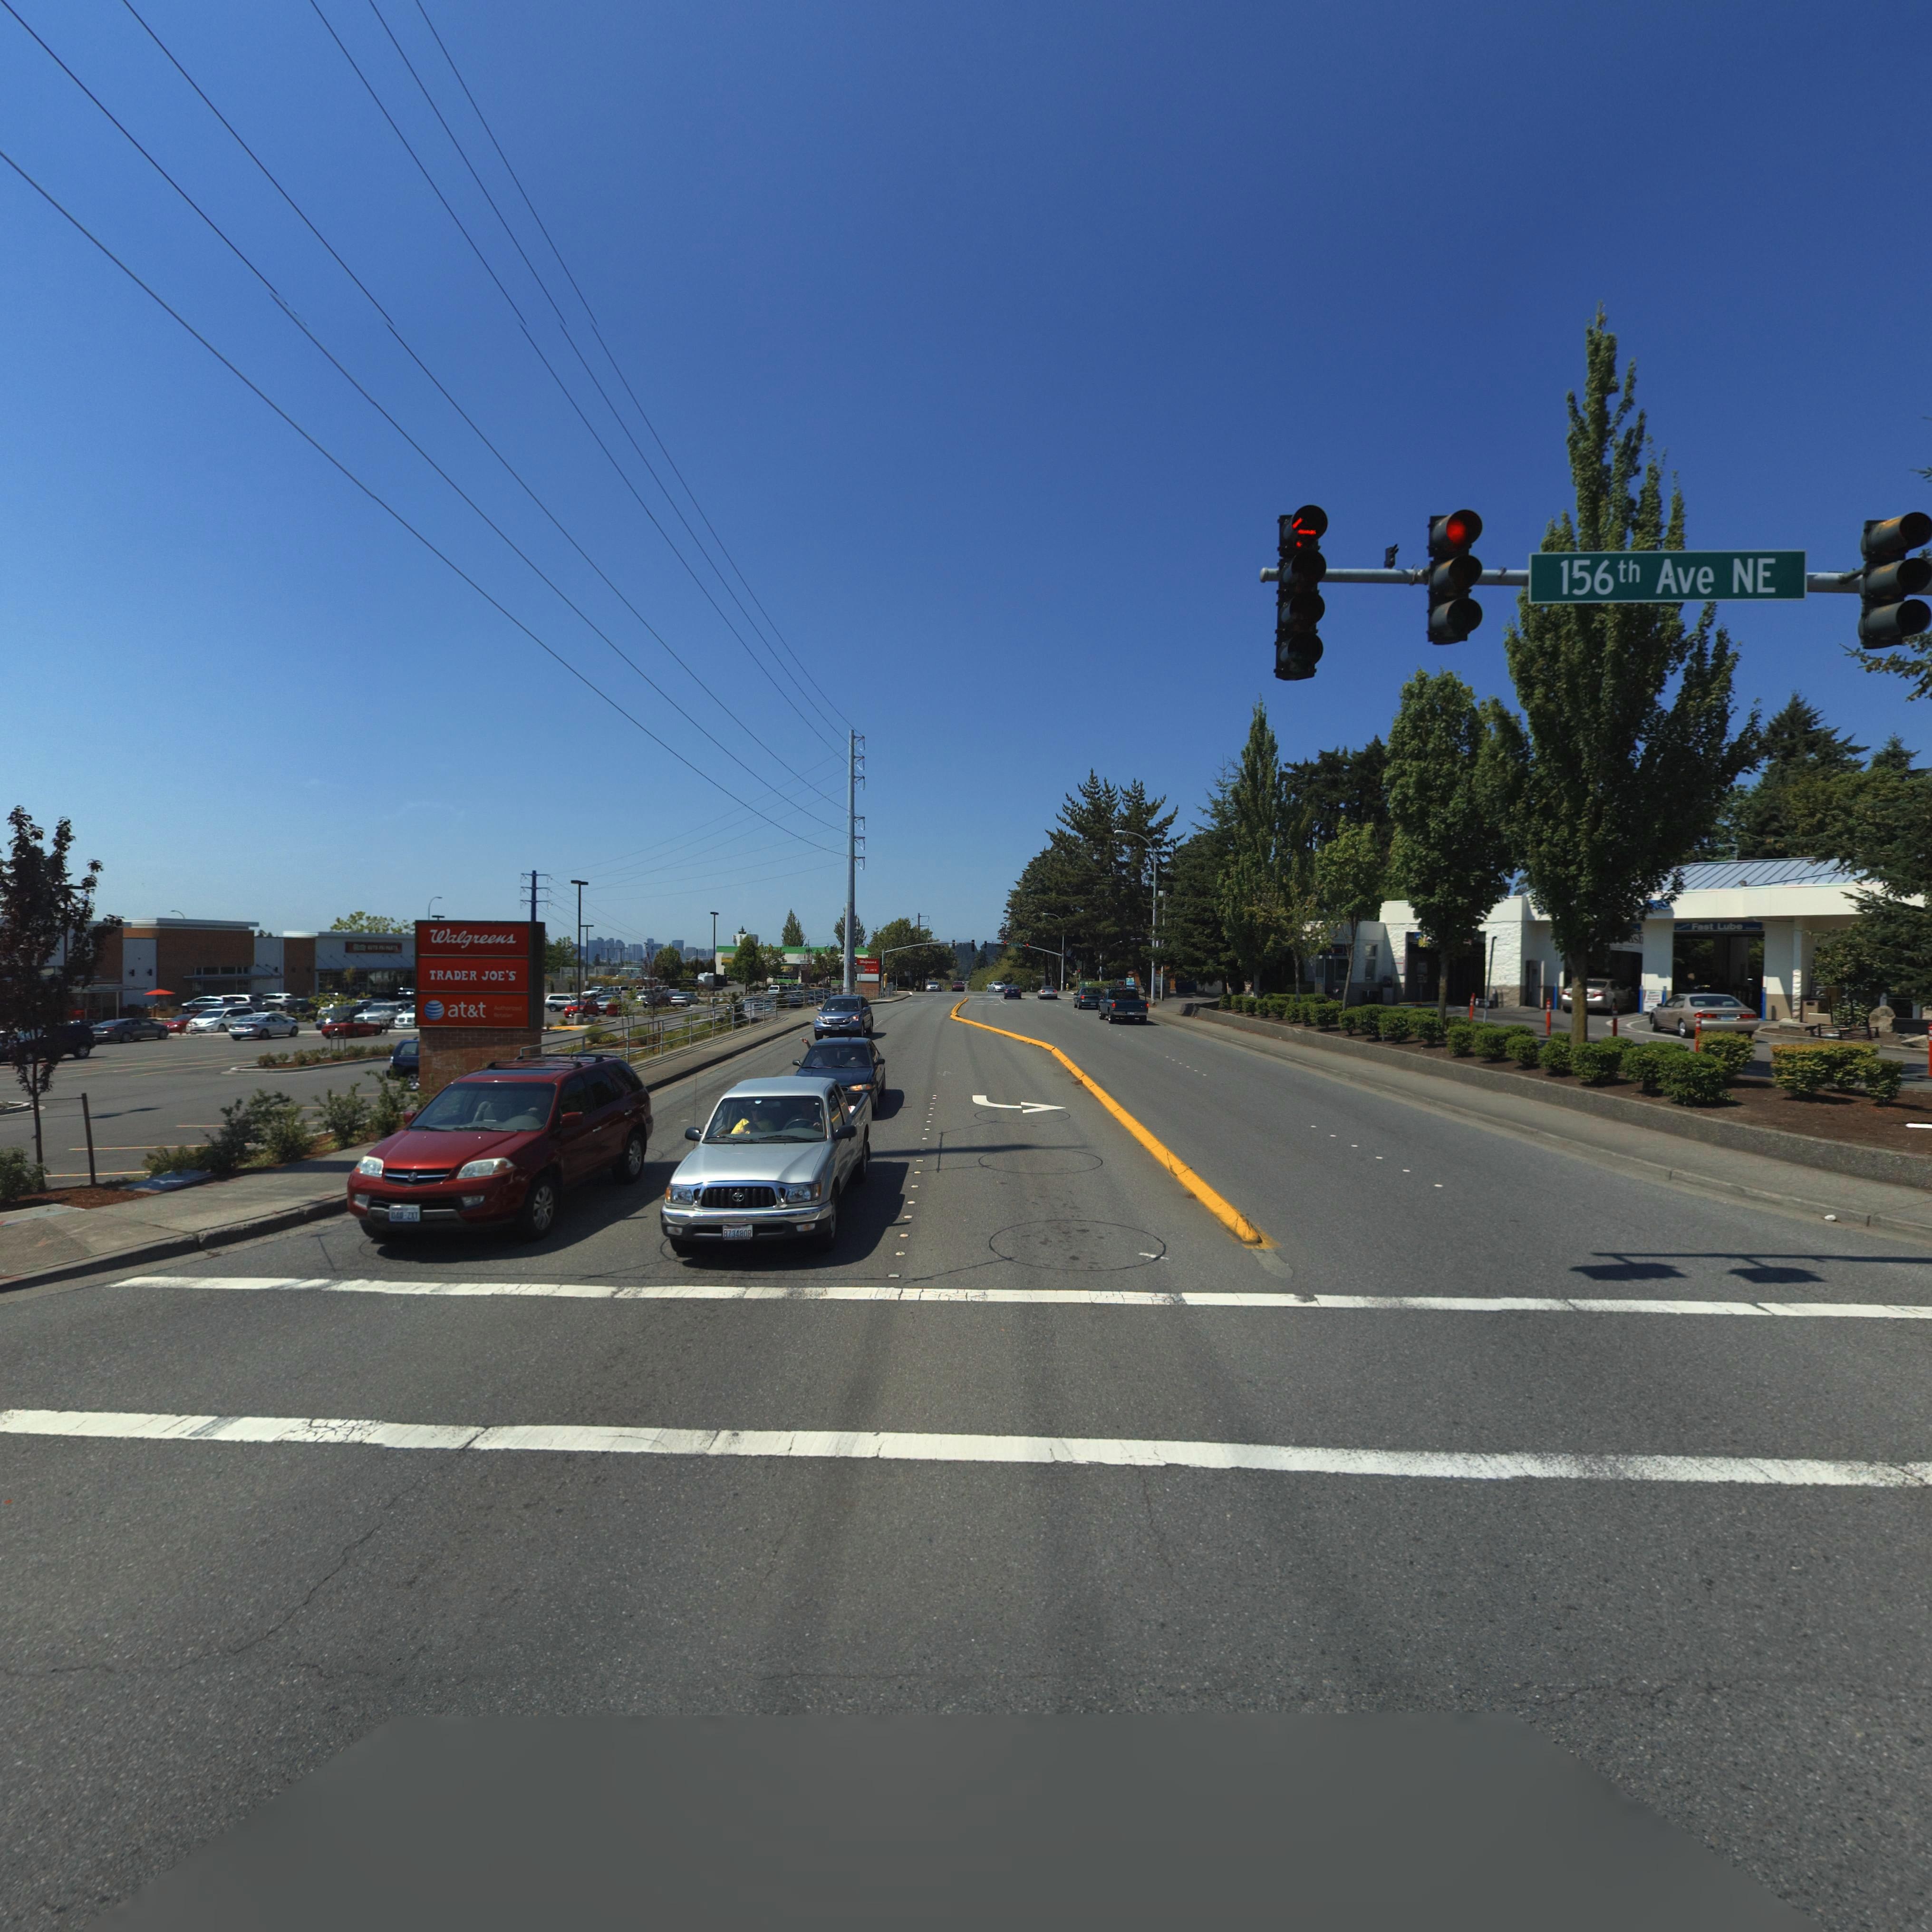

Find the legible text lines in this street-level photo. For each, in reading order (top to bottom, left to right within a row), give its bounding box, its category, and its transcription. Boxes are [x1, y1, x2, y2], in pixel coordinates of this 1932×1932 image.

[1559, 556, 1777, 596] StreetName: 156th Ave NE
[430, 927, 517, 948] BusinessName: Walgreens
[430, 969, 516, 981] BusinessName: TRADER JOE'S
[447, 1001, 487, 1017] BusinessName: at*t